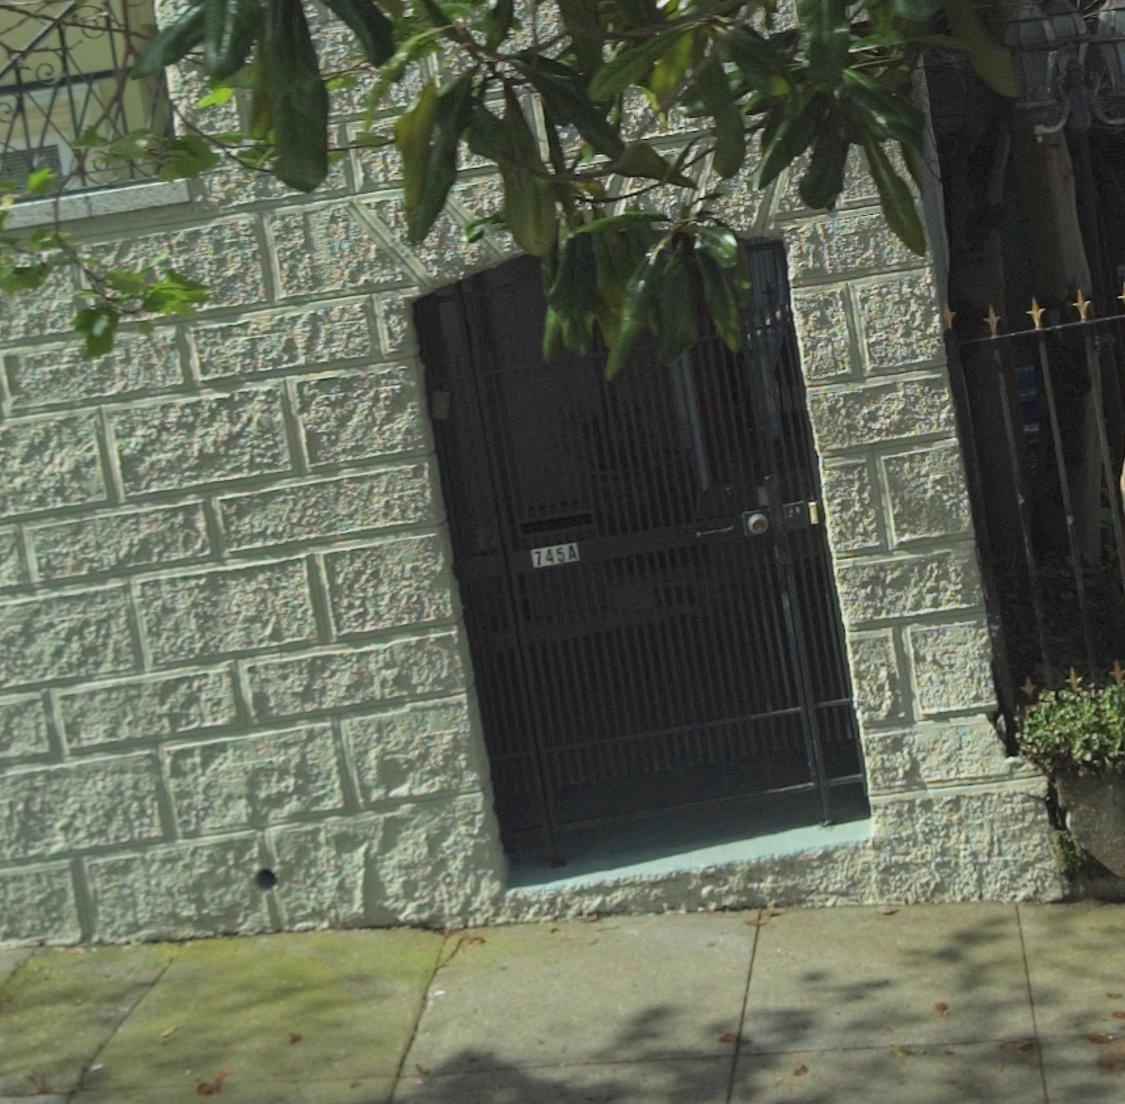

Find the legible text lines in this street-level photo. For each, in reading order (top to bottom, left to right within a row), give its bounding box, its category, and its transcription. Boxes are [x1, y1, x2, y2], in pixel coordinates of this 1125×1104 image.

[531, 541, 583, 570] StreetNumber: 745 A